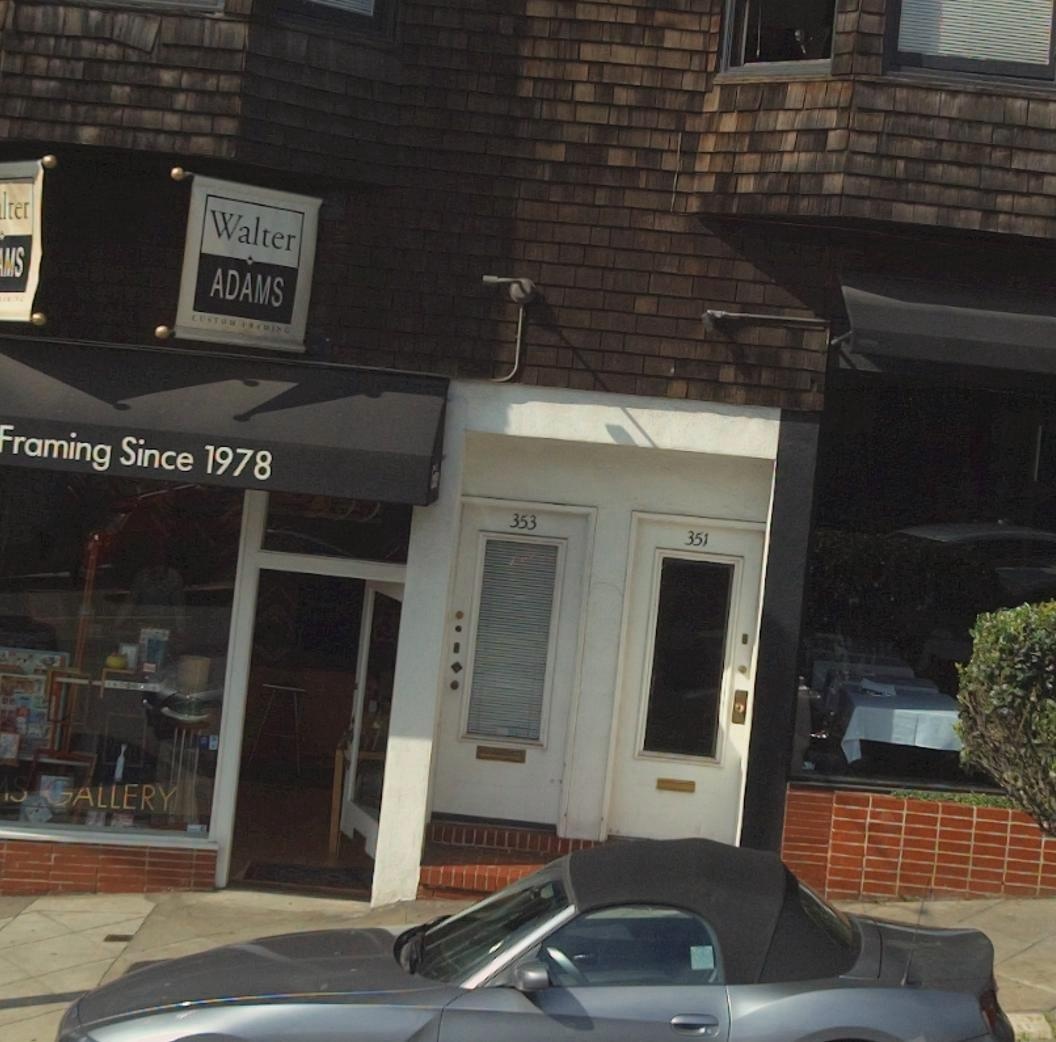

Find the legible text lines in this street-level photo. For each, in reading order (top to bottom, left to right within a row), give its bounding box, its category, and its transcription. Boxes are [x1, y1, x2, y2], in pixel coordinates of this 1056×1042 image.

[1, 187, 33, 222] BusinessName: lter
[207, 206, 299, 256] BusinessName: Walter
[2, 244, 27, 279] BusinessName: MS
[206, 264, 288, 310] BusinessName: ADAMS
[189, 310, 294, 337] None: CUSTOM ****ING
[11, 429, 275, 483] None: raming Since 1978
[506, 510, 540, 533] StreetNumber: 353
[681, 527, 712, 550] StreetNumber: 351
[10, 772, 182, 814] None: S GALLERY